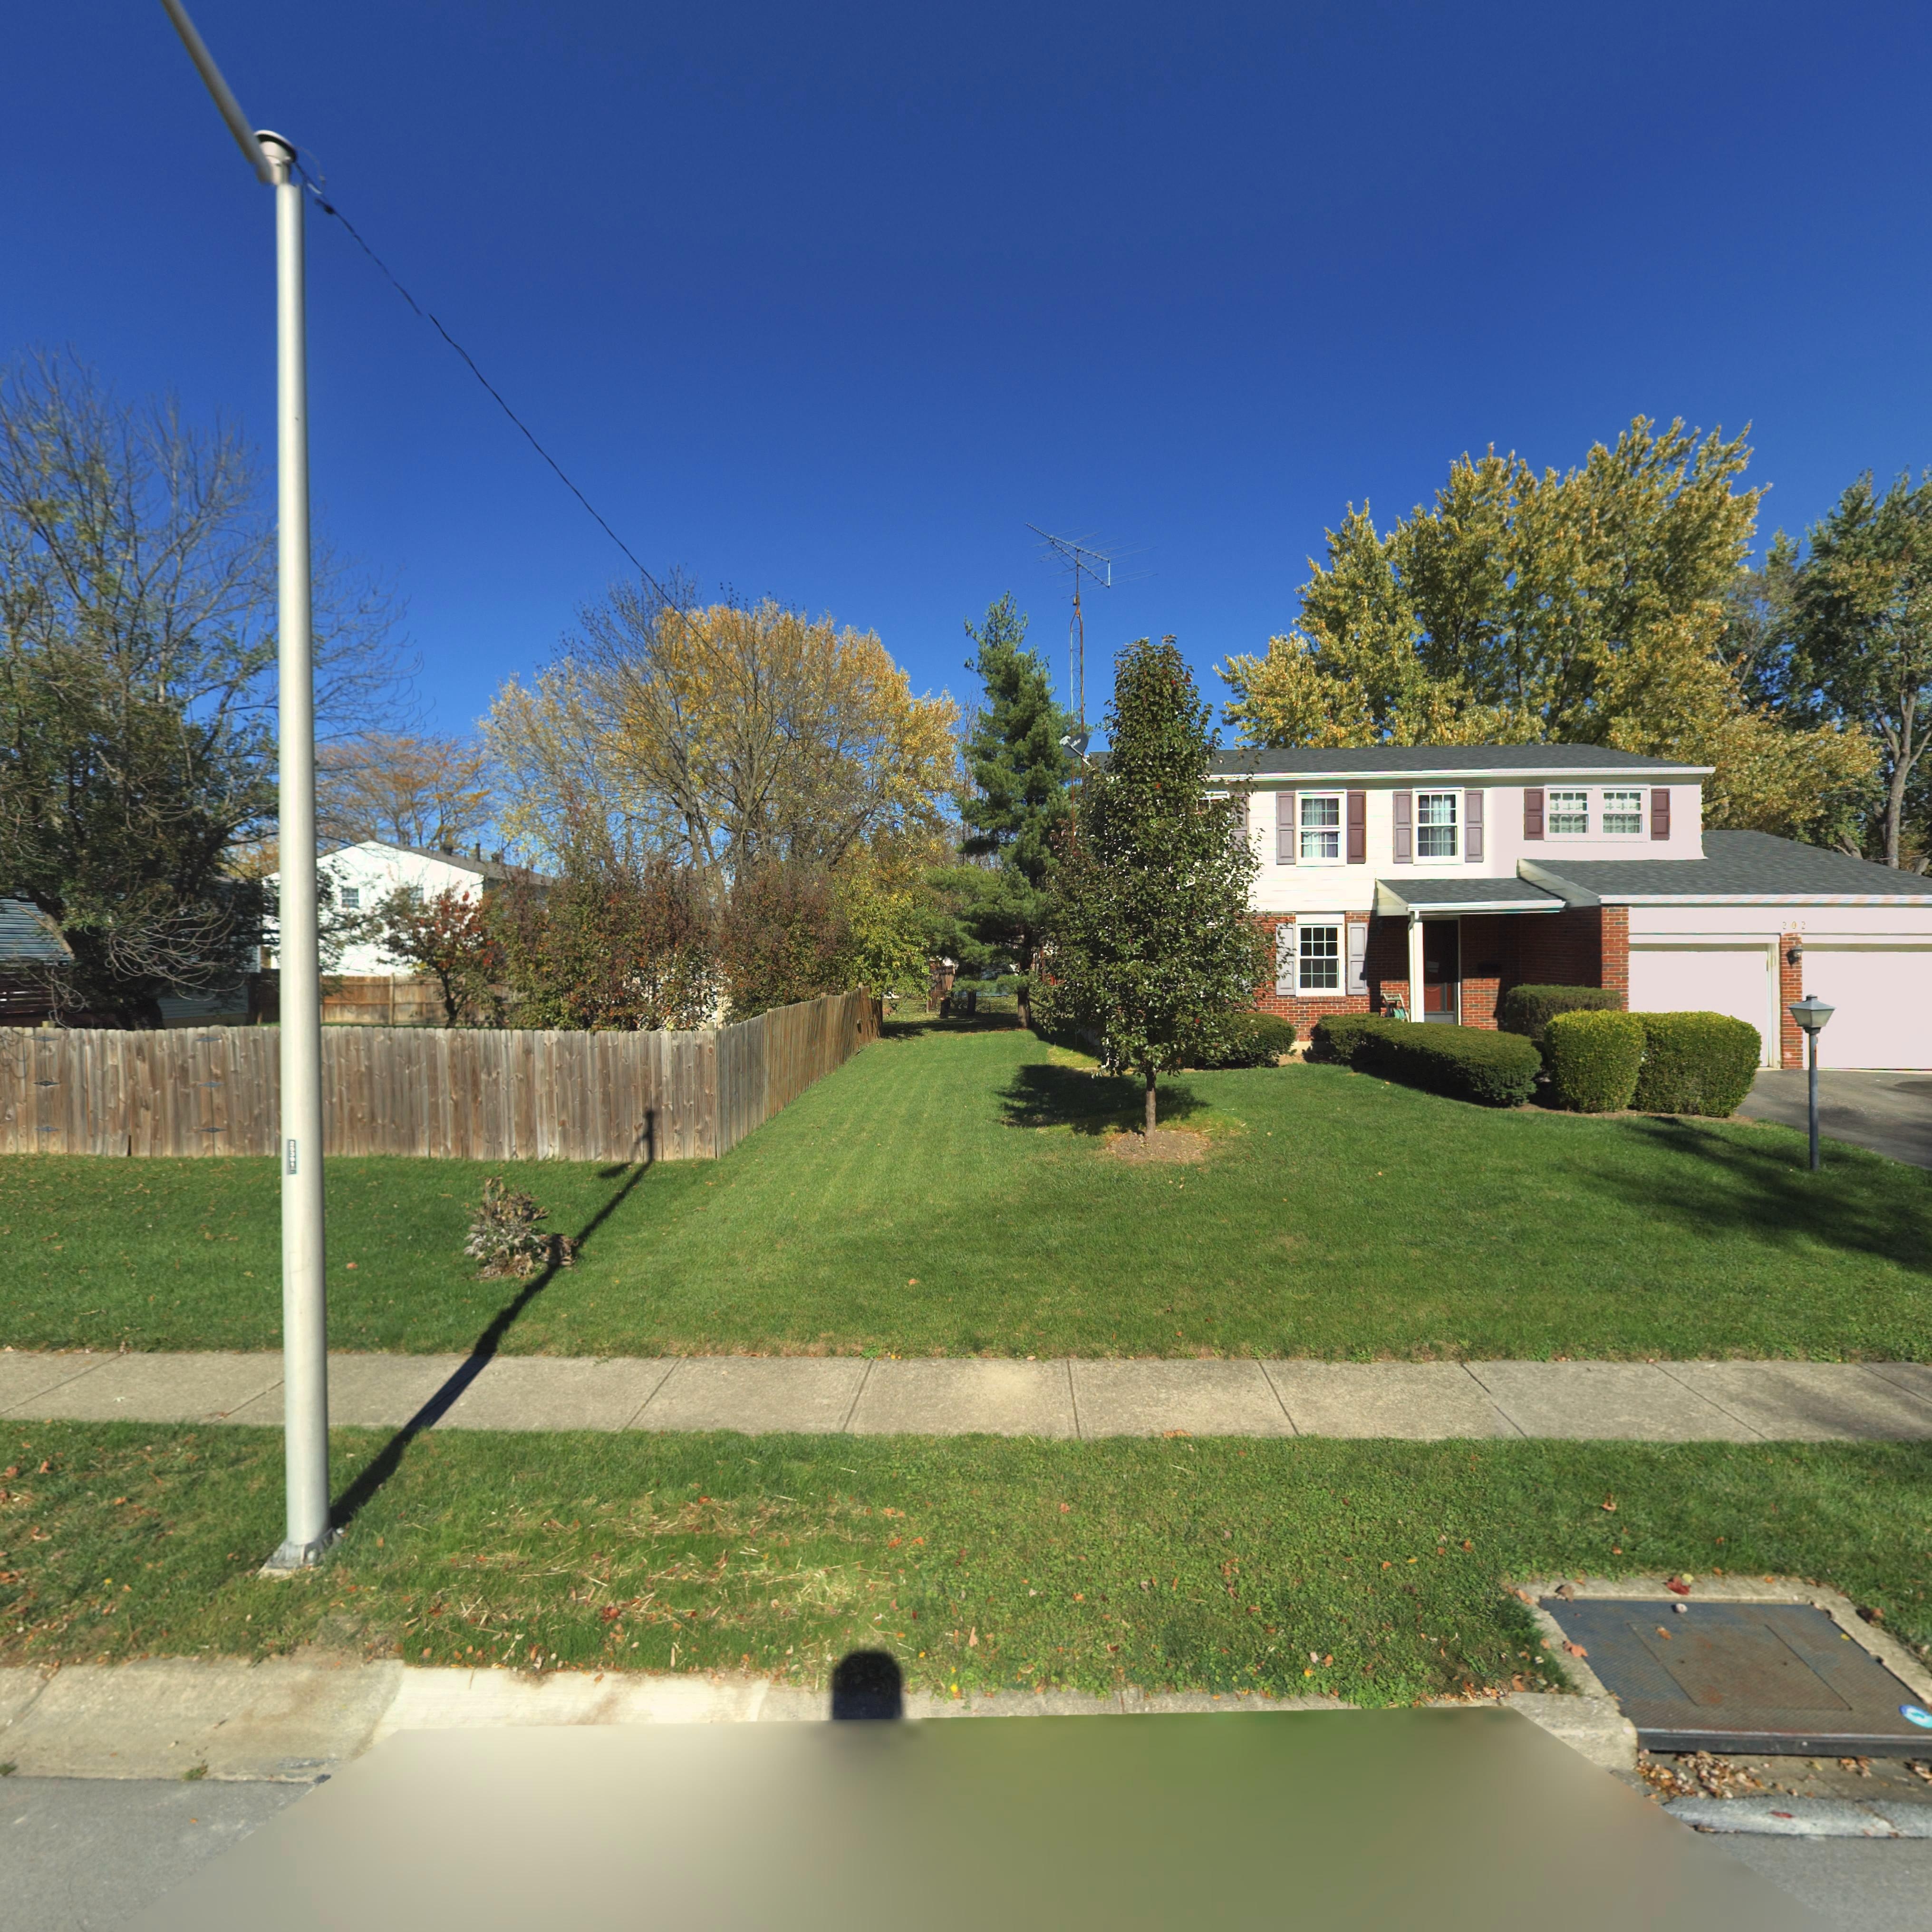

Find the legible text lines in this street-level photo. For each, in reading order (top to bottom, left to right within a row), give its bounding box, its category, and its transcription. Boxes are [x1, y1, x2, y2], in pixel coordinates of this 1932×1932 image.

[1781, 920, 1806, 930] StreetNumber: 202